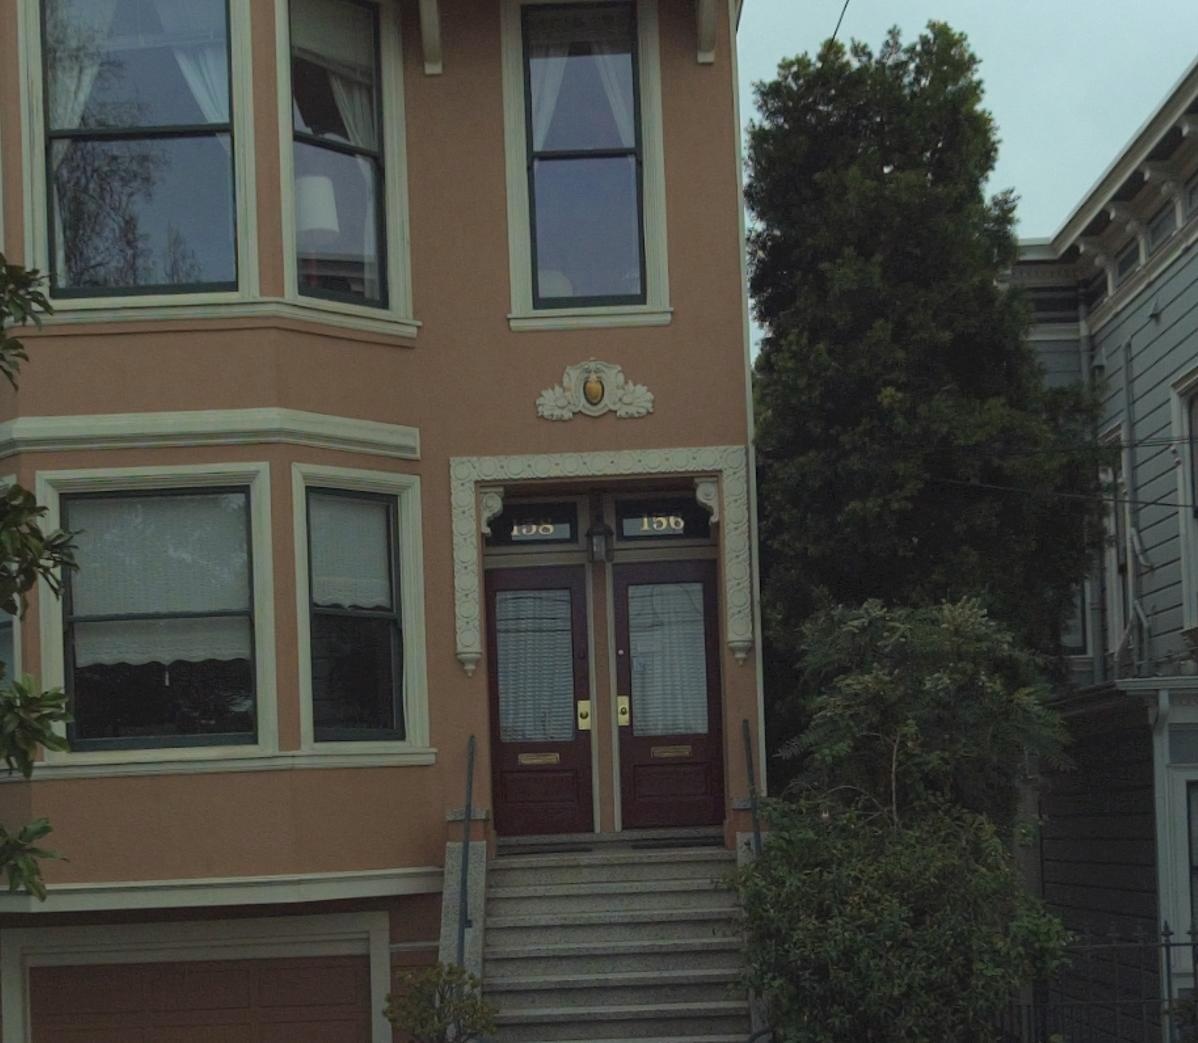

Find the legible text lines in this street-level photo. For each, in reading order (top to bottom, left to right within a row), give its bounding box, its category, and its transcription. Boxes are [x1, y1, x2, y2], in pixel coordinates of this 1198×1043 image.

[509, 515, 555, 536] StreetNumber: 158
[639, 509, 686, 532] StreetNumber: 156